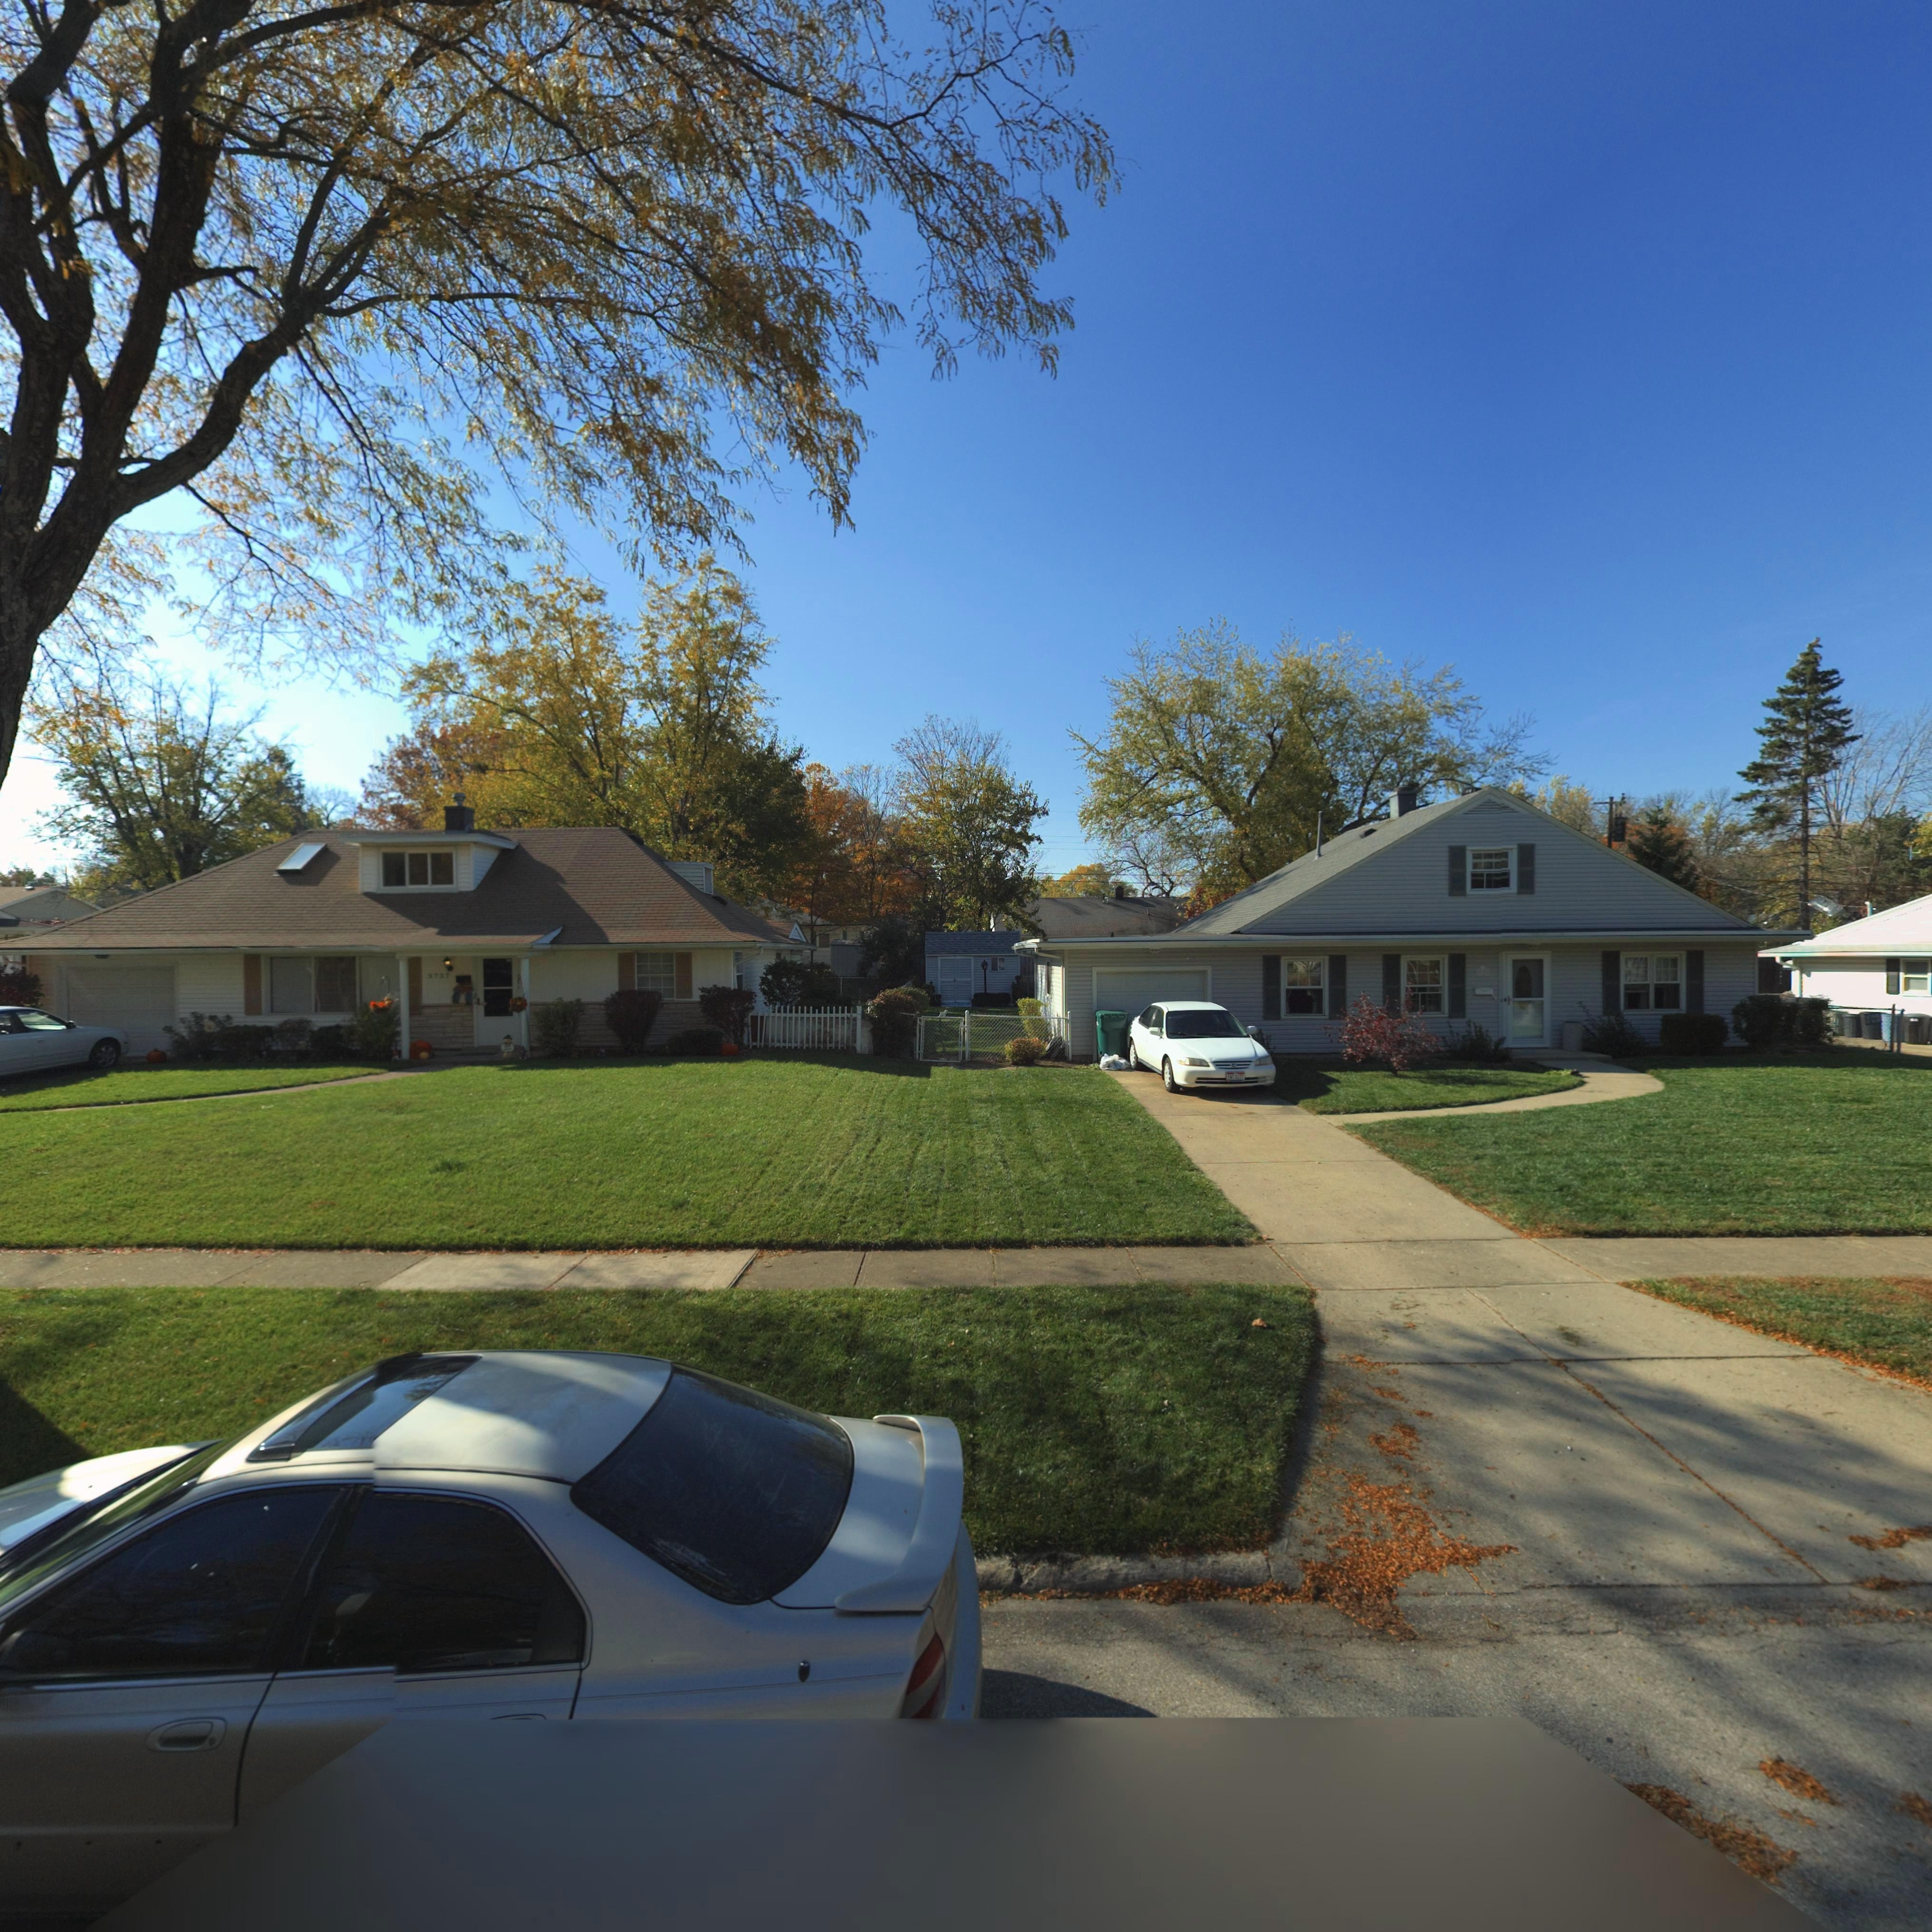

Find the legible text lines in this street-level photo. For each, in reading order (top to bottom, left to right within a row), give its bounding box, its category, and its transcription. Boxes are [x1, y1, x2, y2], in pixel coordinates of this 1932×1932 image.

[427, 973, 450, 979] StreetNumber: 3737
[1227, 1074, 1243, 1079] None: EW**6*77